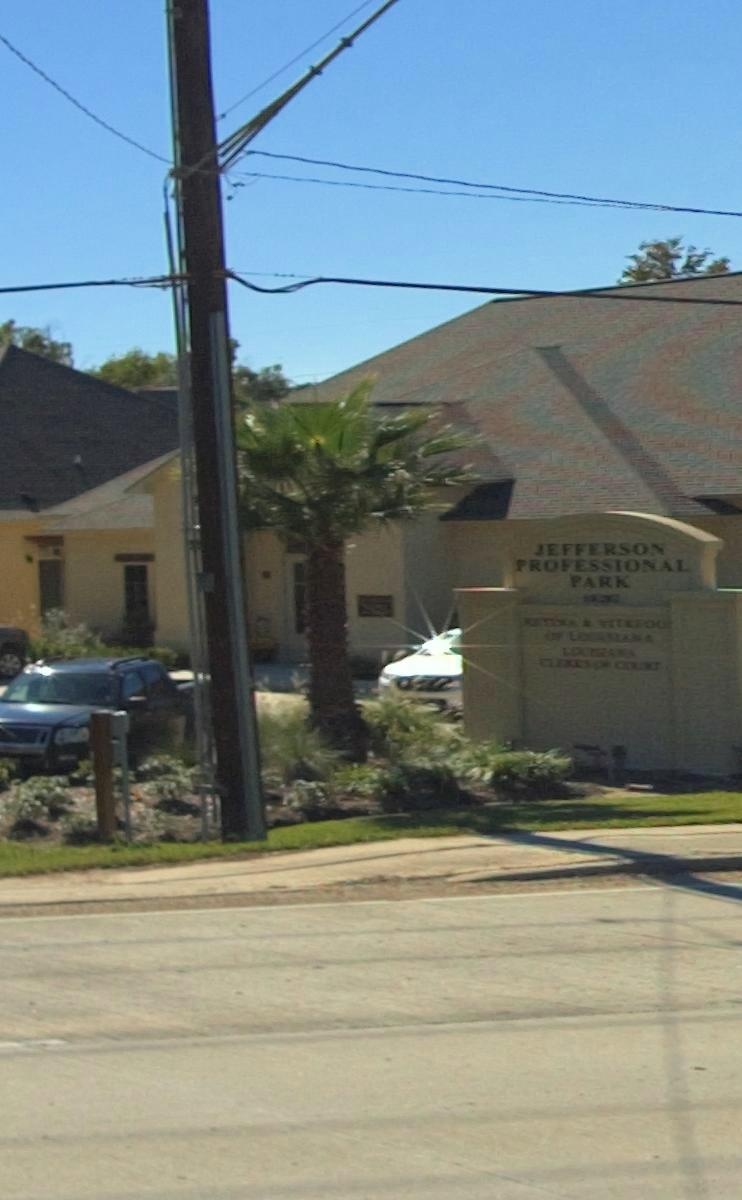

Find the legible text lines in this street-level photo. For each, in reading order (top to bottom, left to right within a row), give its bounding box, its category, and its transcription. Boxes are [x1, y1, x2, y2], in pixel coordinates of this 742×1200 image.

[531, 539, 667, 559] BusinessName: JEFFERSON
[512, 556, 694, 575] BusinessName: PROFESSIONAL
[566, 571, 636, 593] BusinessName: PARK